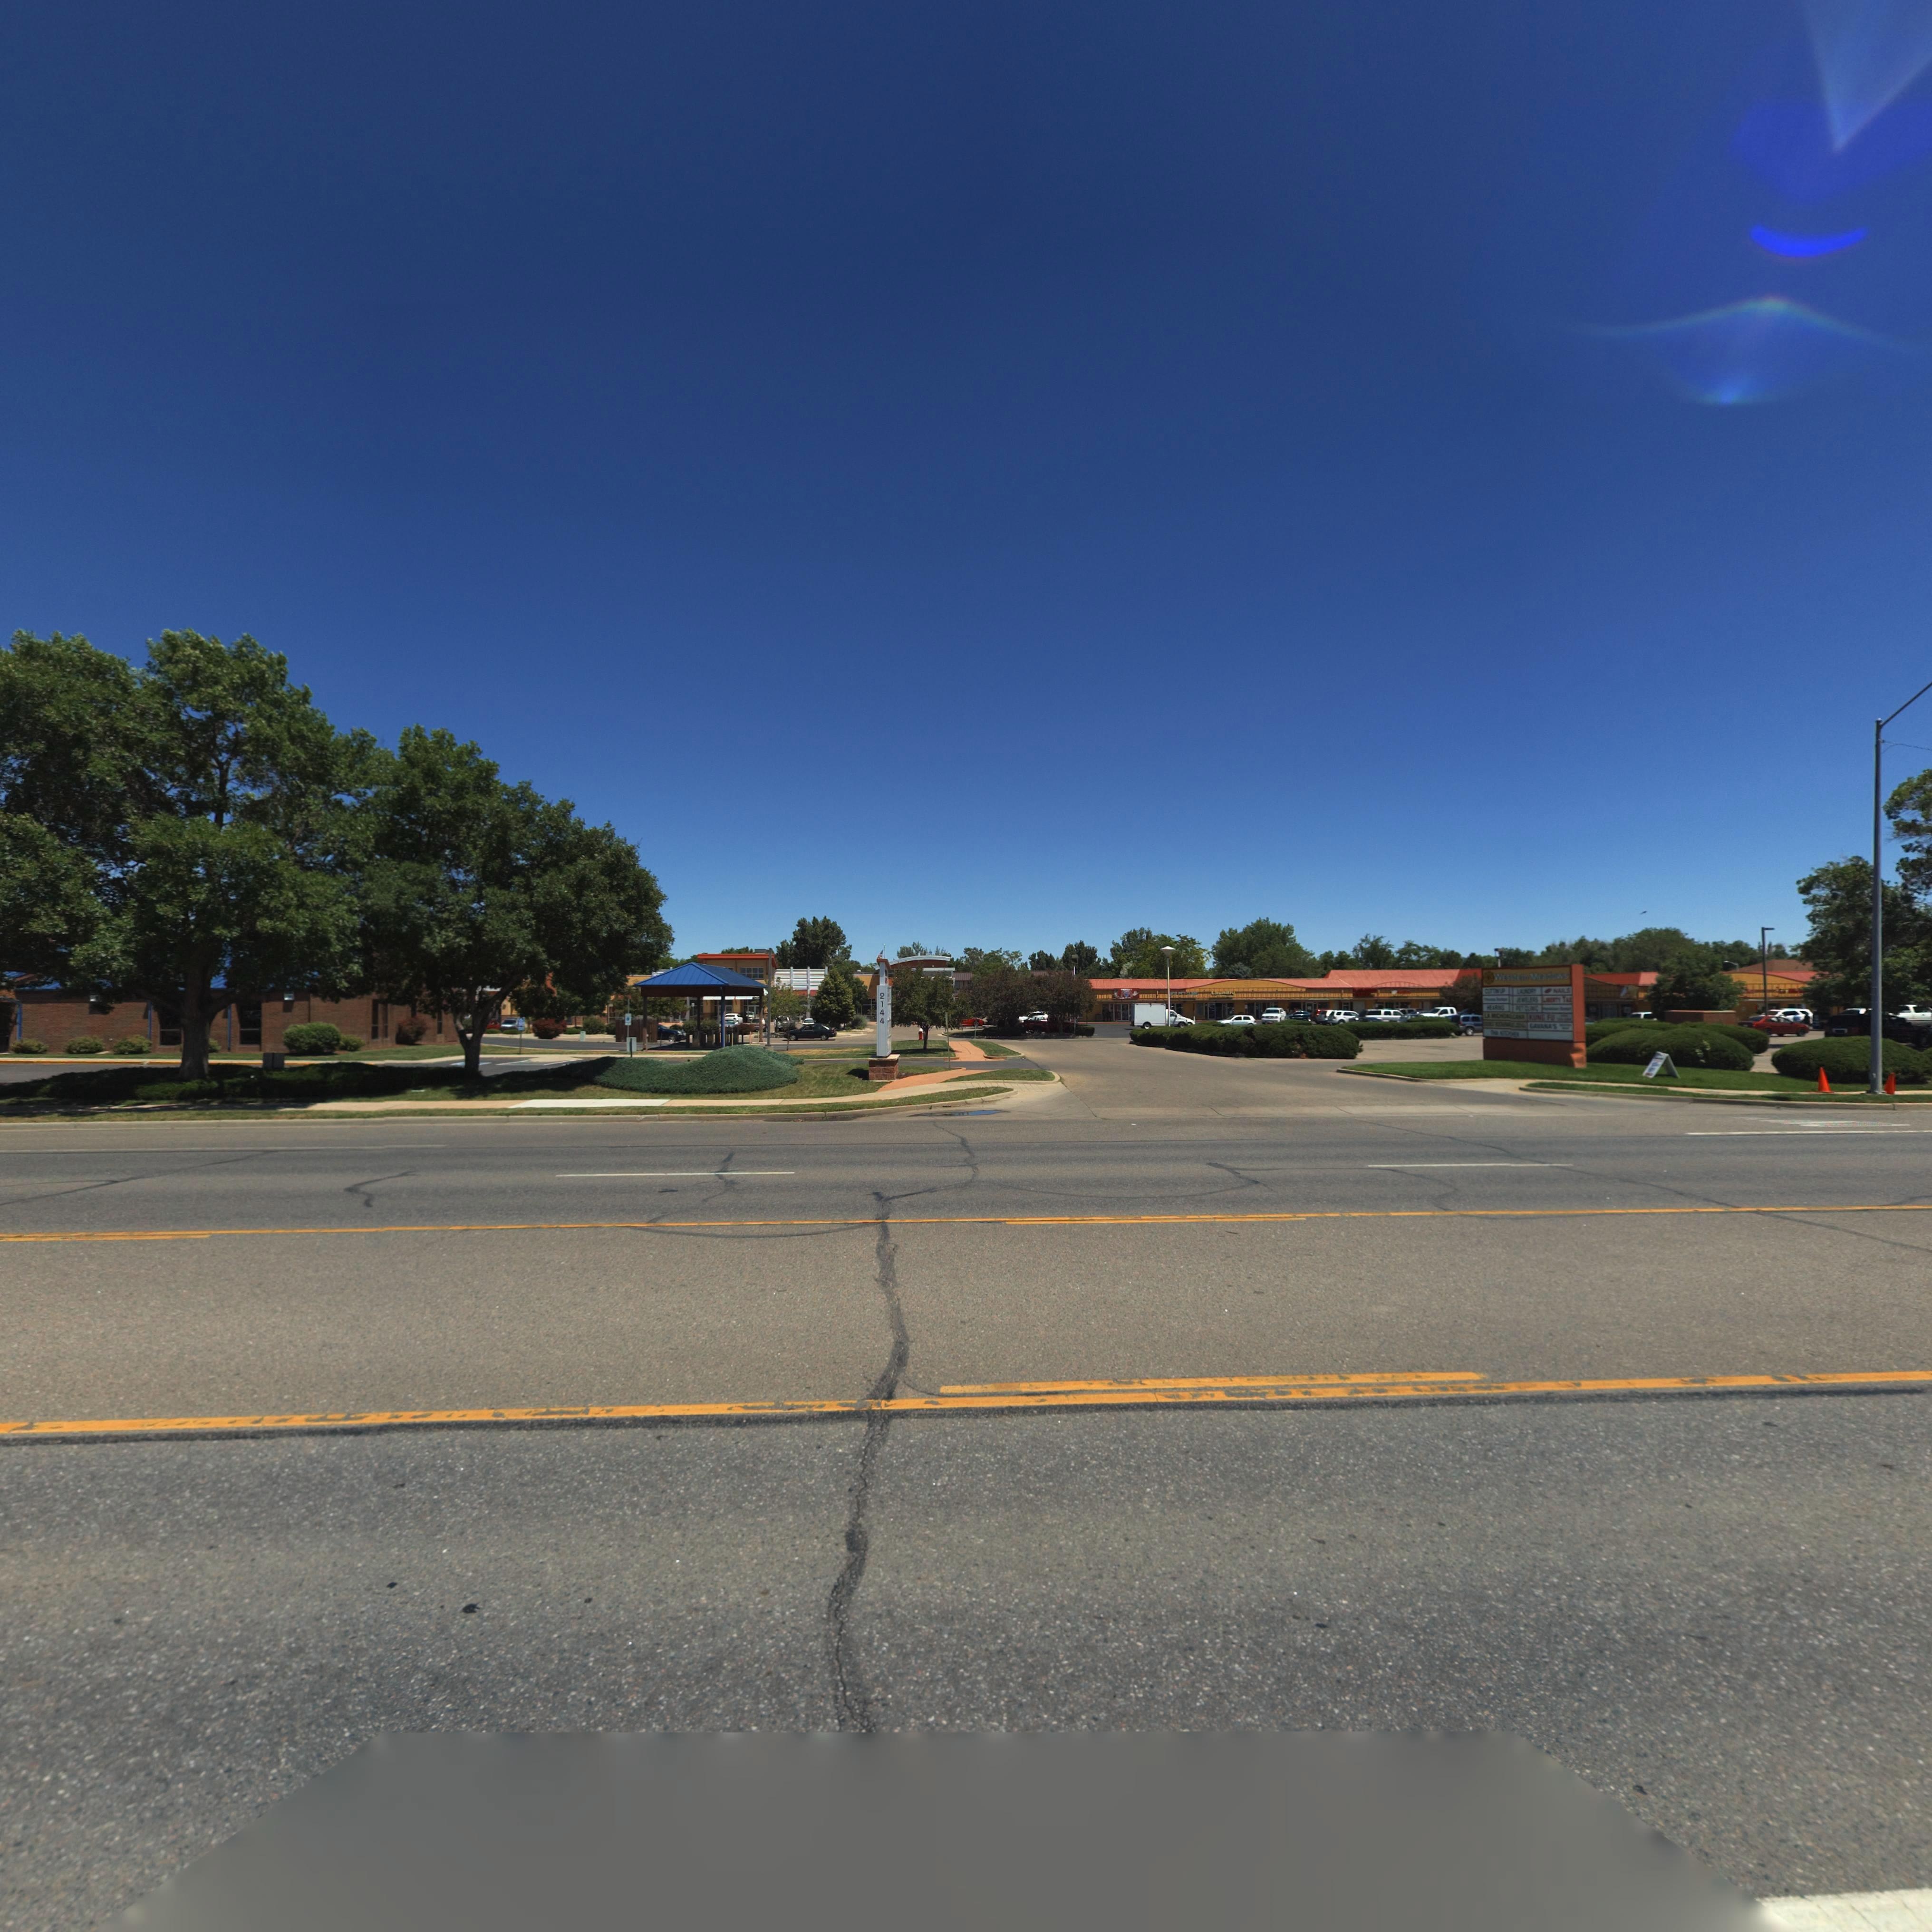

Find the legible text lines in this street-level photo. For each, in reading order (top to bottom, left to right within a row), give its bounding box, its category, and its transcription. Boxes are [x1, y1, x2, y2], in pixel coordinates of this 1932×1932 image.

[1169, 991, 1198, 995] BusinessName: *G* PET CL***C
[1484, 987, 1506, 994] BusinessName: CUTTIN' UP
[1553, 987, 1571, 994] BusinessName: NAILS
[1542, 995, 1572, 1003] BusinessName: LI*ERTY TA*
[879, 992, 885, 1024] StreetNumber: 2144
[1483, 1013, 1526, 1020] BusinessName: LA **C****CA**
[1529, 1023, 1558, 1030] BusinessName: GAVANA'S
[1489, 1029, 1520, 1038] BusinessName: TH** ***CHE*